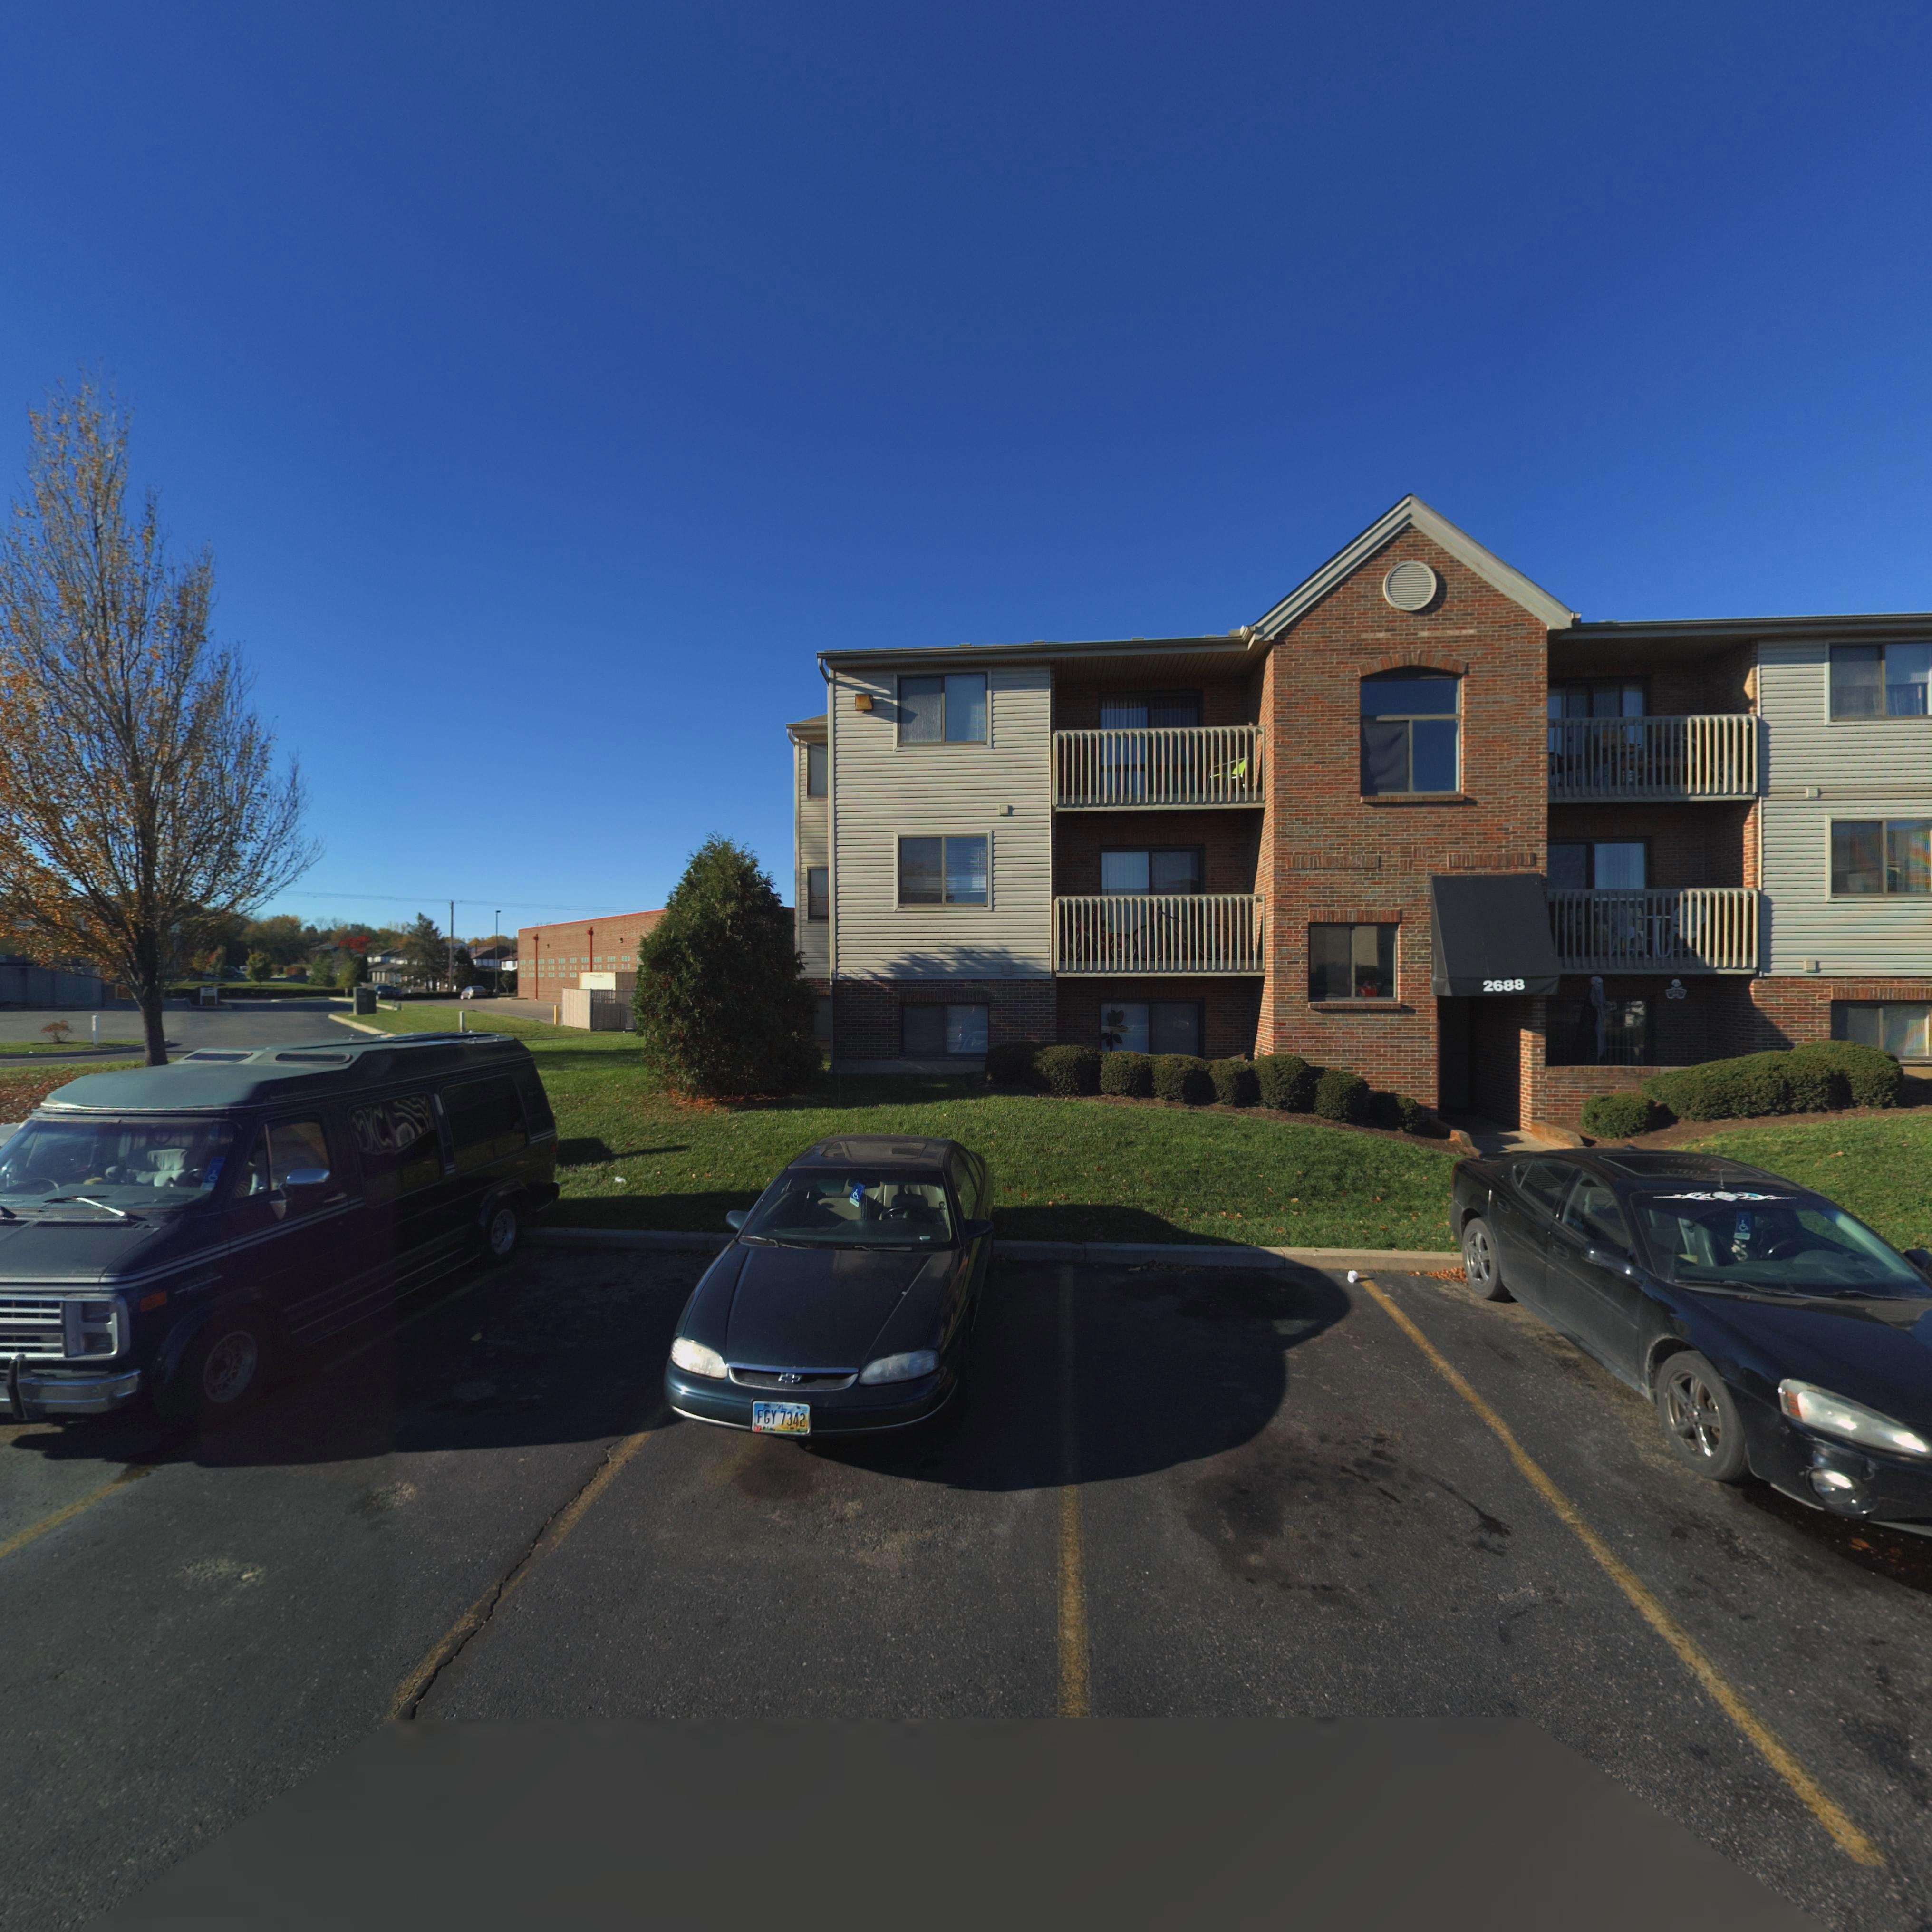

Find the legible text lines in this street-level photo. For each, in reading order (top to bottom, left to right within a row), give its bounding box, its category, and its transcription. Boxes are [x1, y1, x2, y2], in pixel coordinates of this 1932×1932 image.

[1482, 978, 1526, 993] StreetNumber: 2688